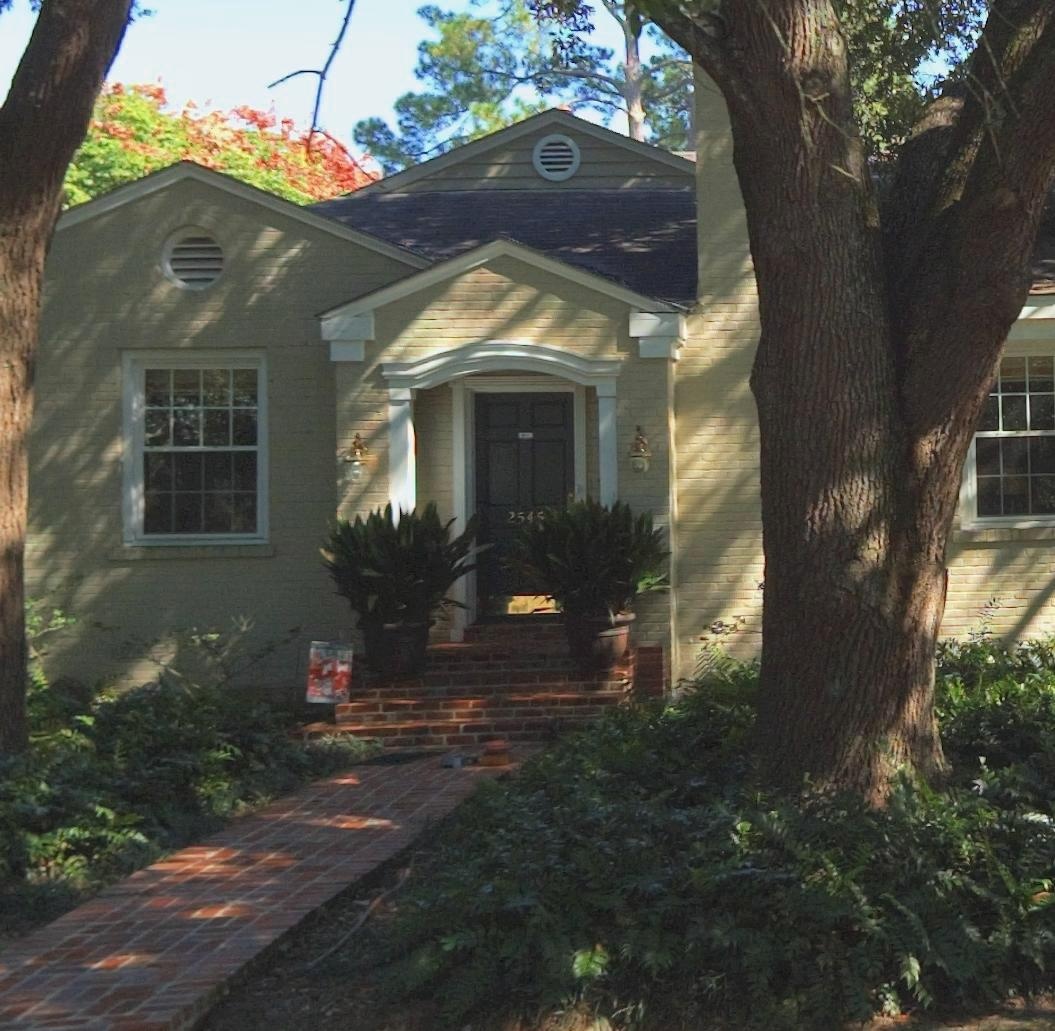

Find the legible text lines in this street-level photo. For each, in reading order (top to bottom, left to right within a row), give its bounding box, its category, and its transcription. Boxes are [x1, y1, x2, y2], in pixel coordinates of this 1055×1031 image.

[505, 509, 547, 527] StreetNumber: 154*